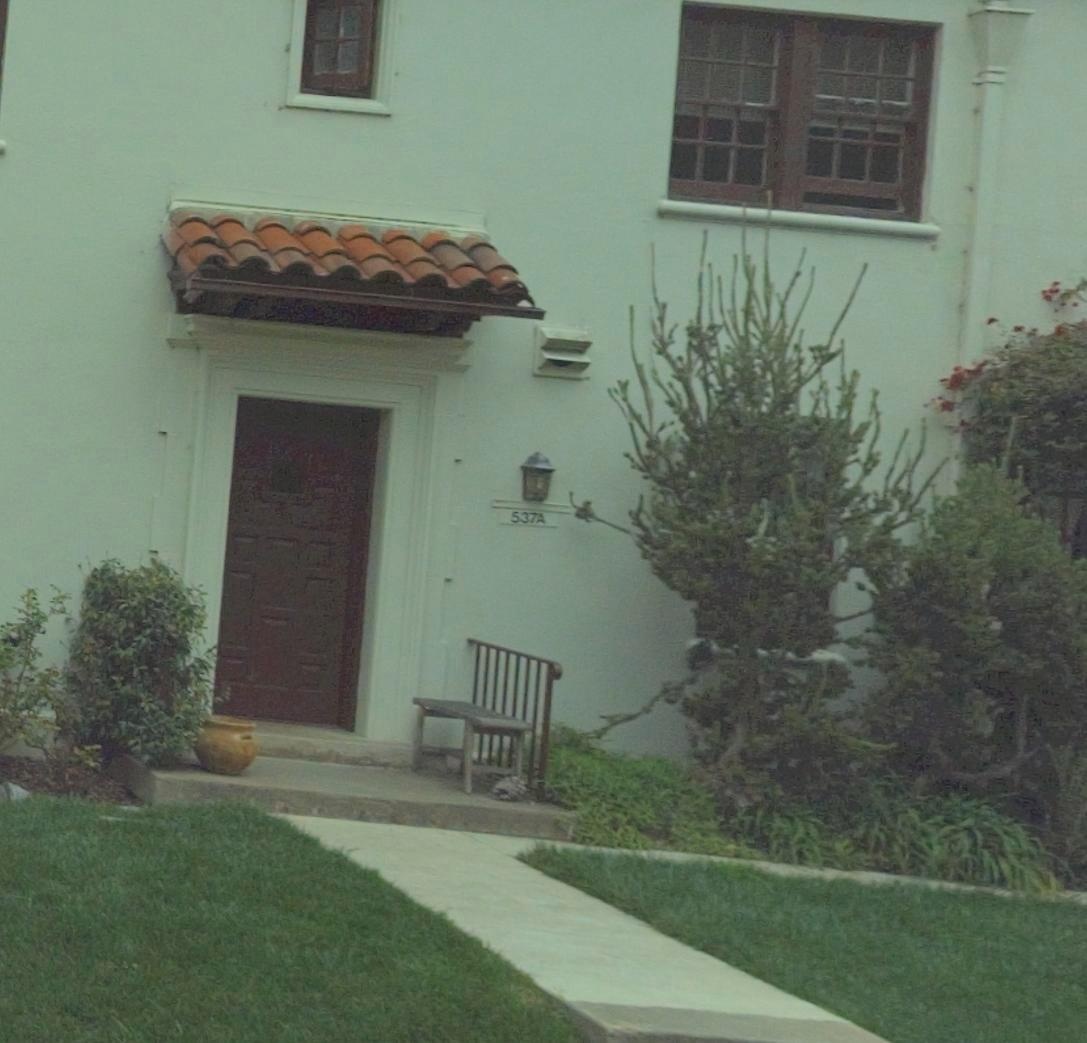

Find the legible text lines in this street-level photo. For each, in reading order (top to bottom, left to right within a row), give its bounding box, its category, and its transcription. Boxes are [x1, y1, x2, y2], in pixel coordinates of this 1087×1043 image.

[510, 511, 546, 526] StreetNumber: 537A